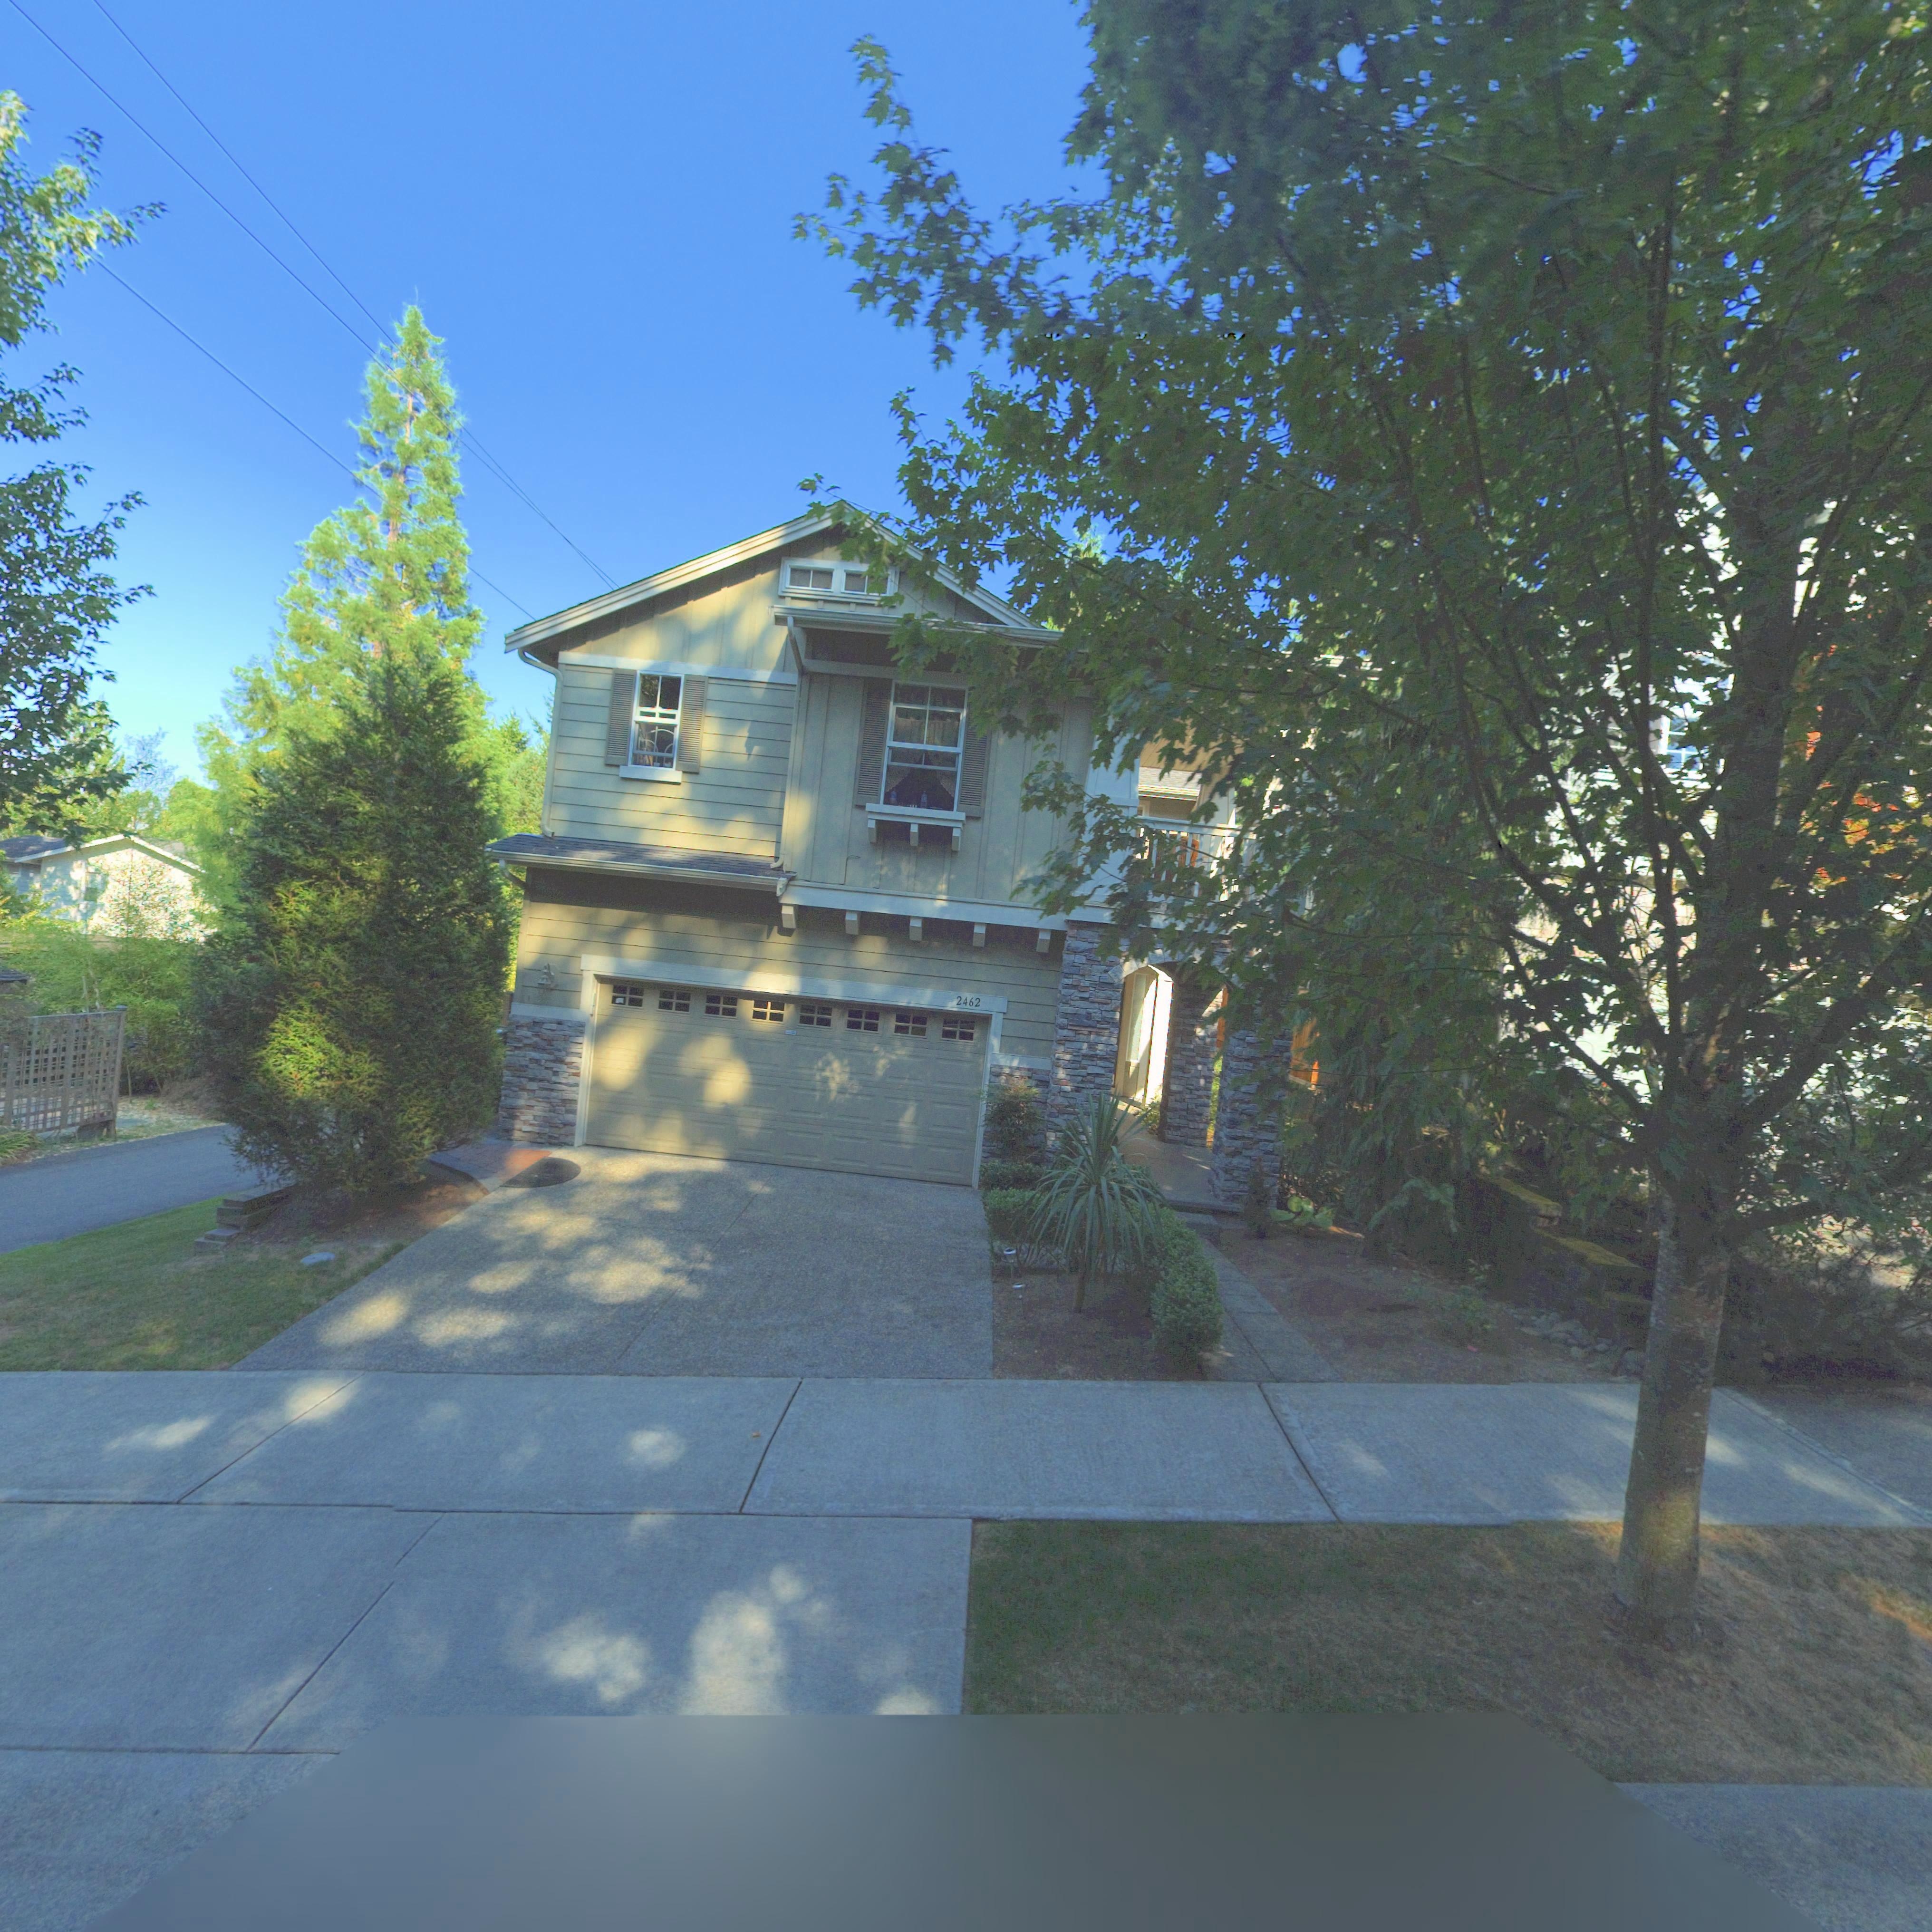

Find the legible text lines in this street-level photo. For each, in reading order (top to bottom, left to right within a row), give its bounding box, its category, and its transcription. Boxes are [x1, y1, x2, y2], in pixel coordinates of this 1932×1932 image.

[956, 995, 981, 1007] StreetNumber: 2462